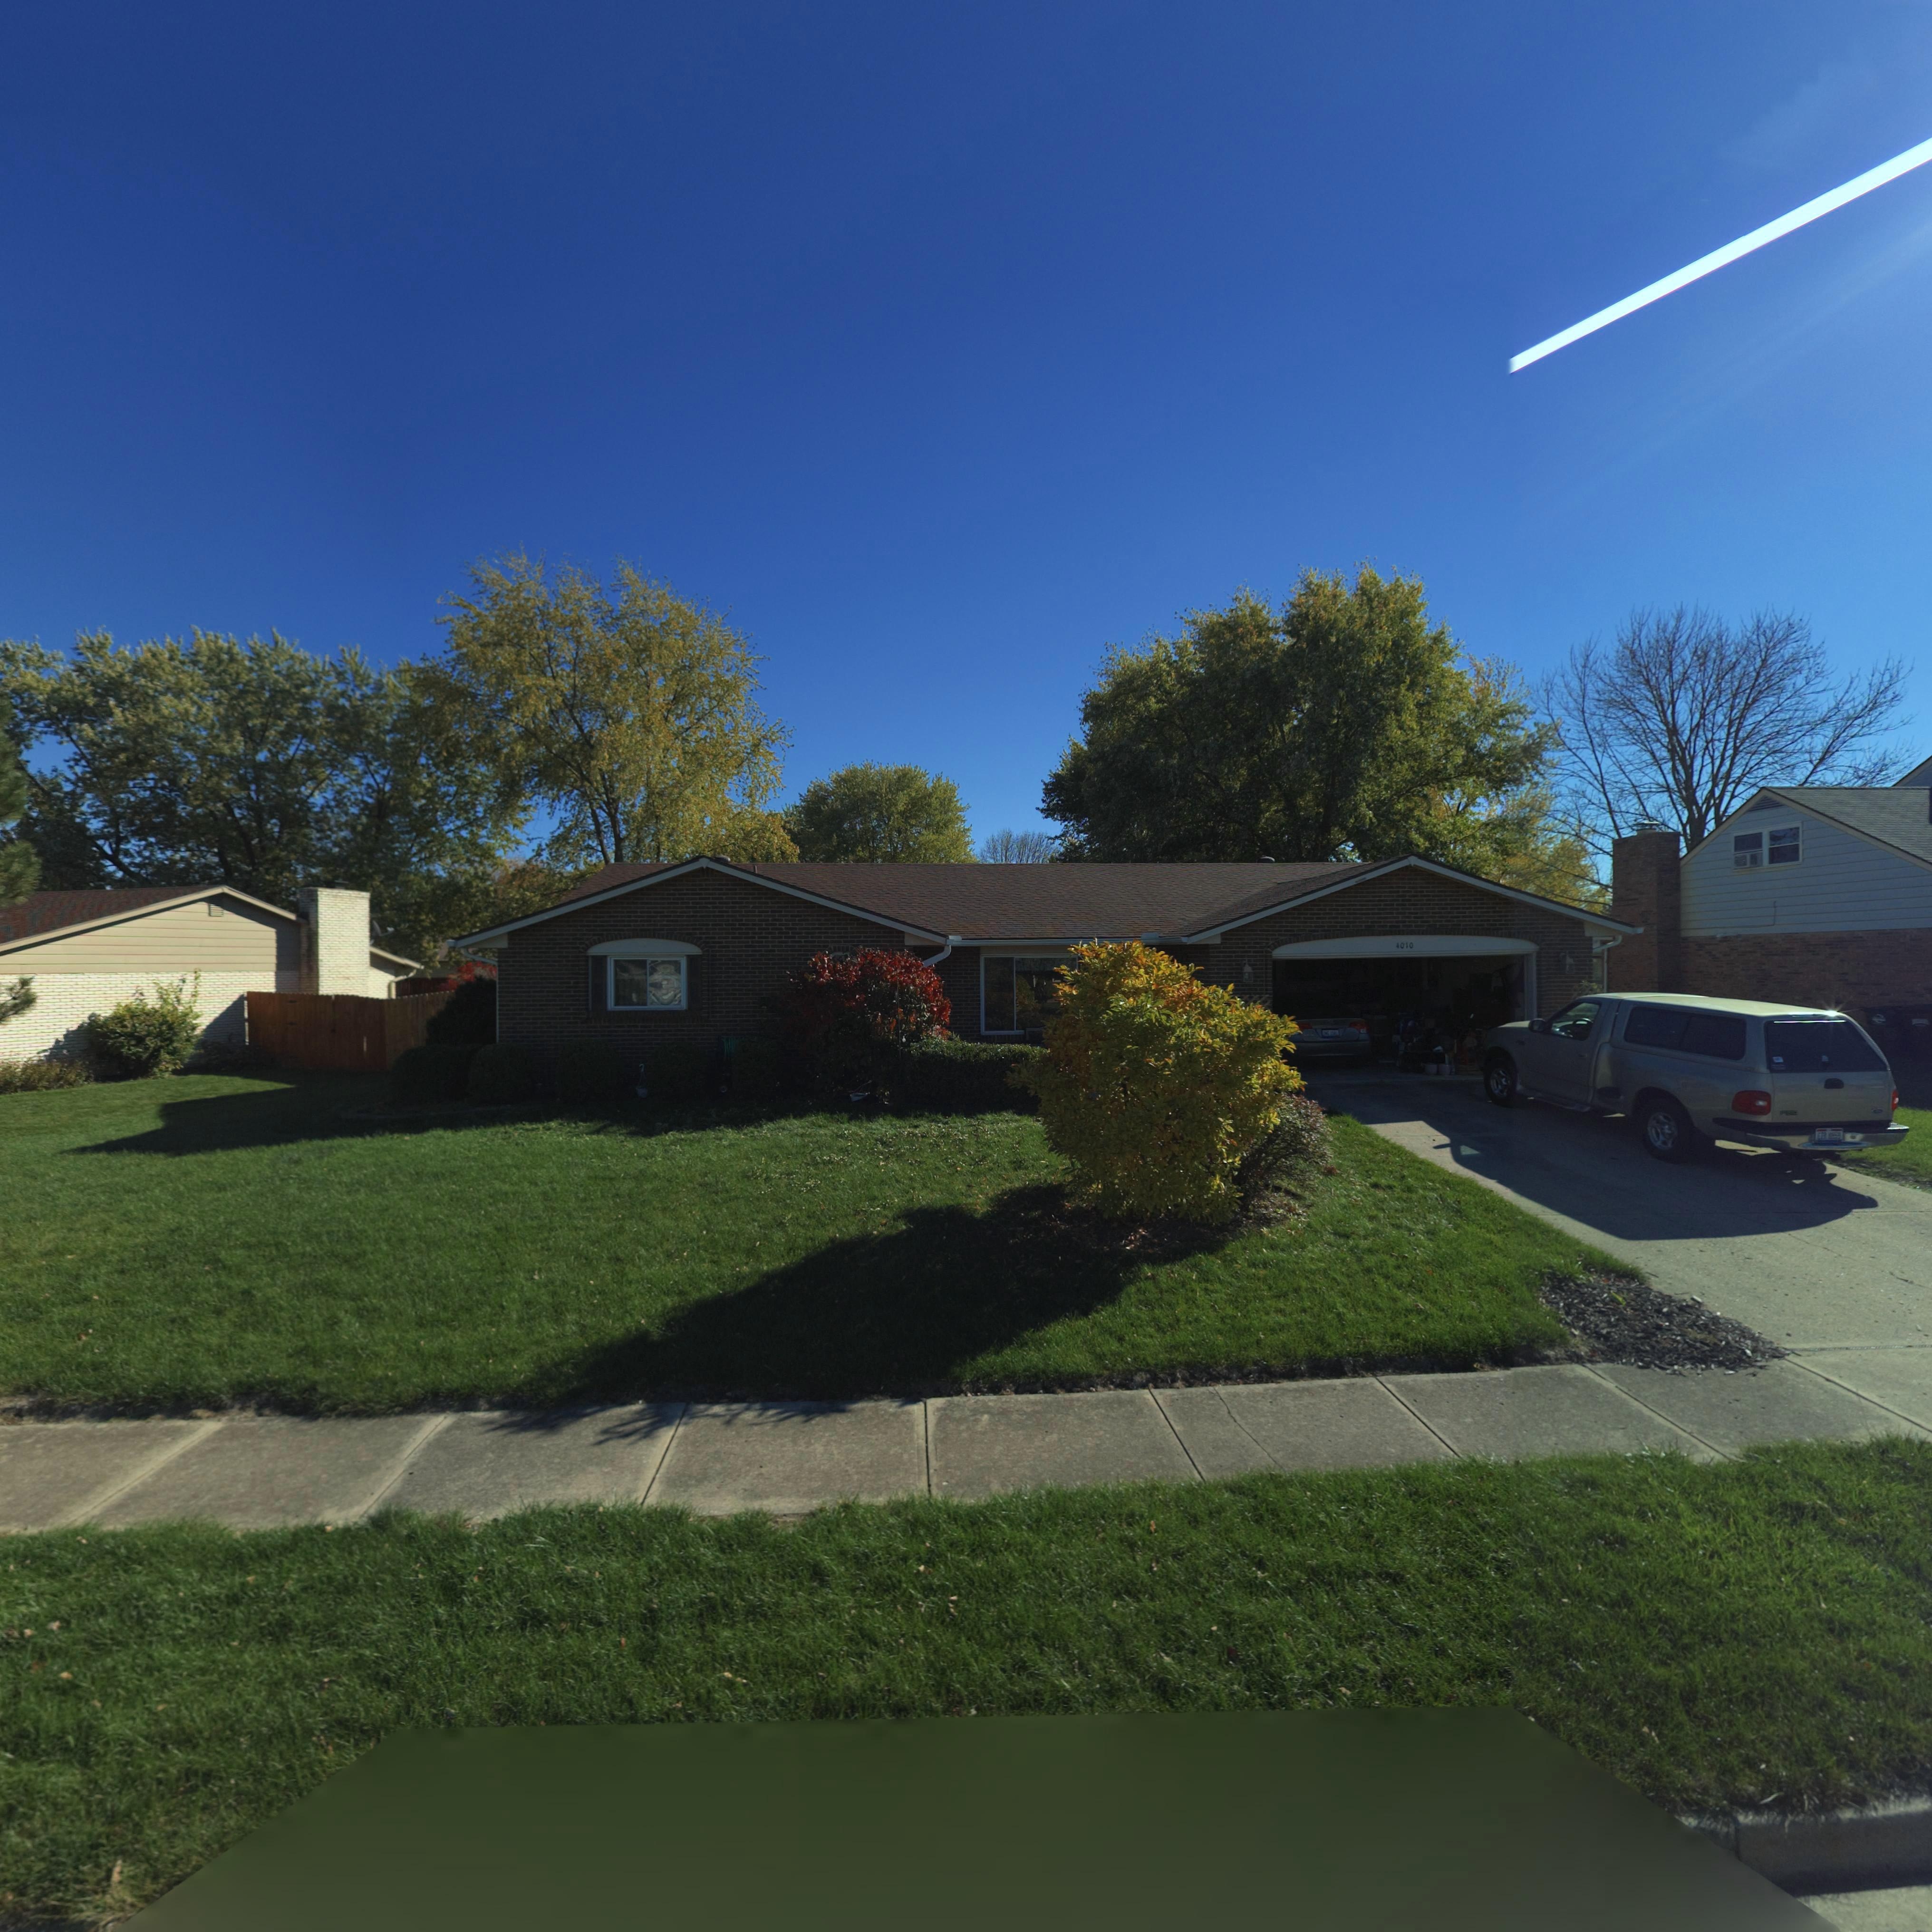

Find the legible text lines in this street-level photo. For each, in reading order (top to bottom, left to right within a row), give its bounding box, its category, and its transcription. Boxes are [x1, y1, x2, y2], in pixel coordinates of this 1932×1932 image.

[1395, 942, 1414, 949] StreetNumber: 4010